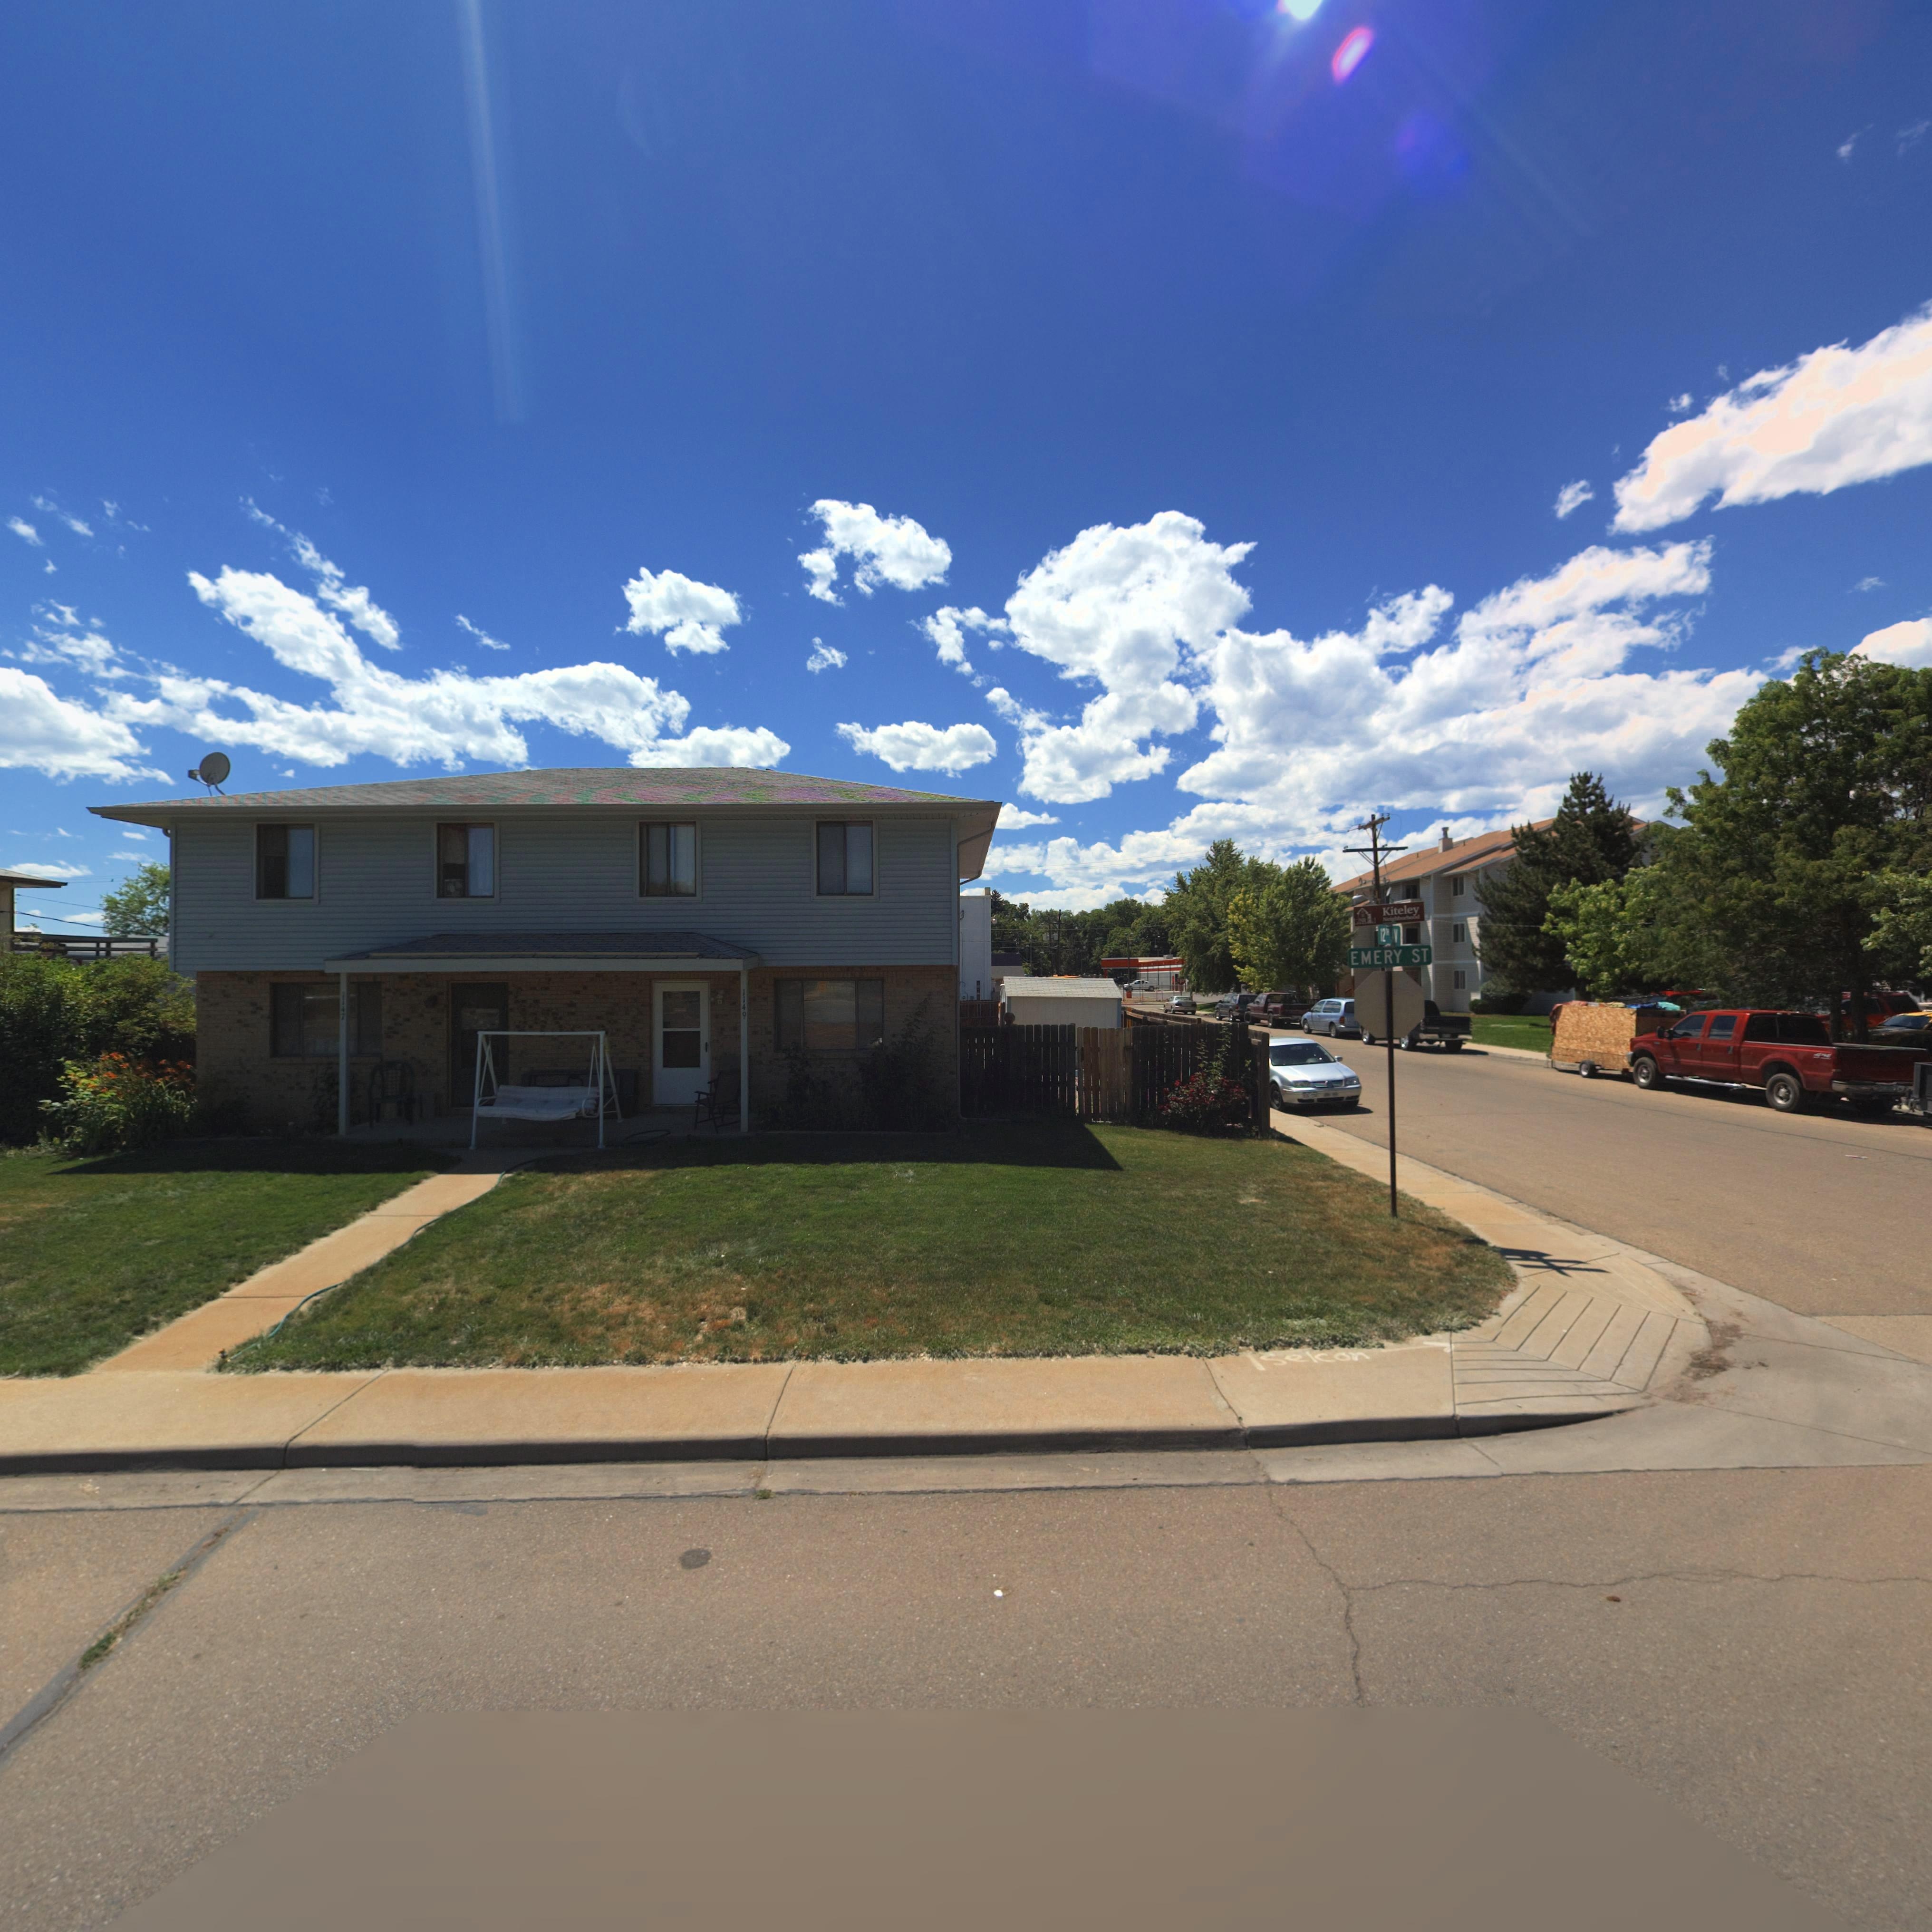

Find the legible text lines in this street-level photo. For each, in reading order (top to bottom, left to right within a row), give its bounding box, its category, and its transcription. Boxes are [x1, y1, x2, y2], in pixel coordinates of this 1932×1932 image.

[1380, 928, 1398, 943] StreetName: 12** **
[1350, 947, 1429, 966] StreetName: EMERY ST
[339, 990, 346, 1020] StreetNumber: 1147
[741, 988, 746, 1020] StreetNumber: 1149